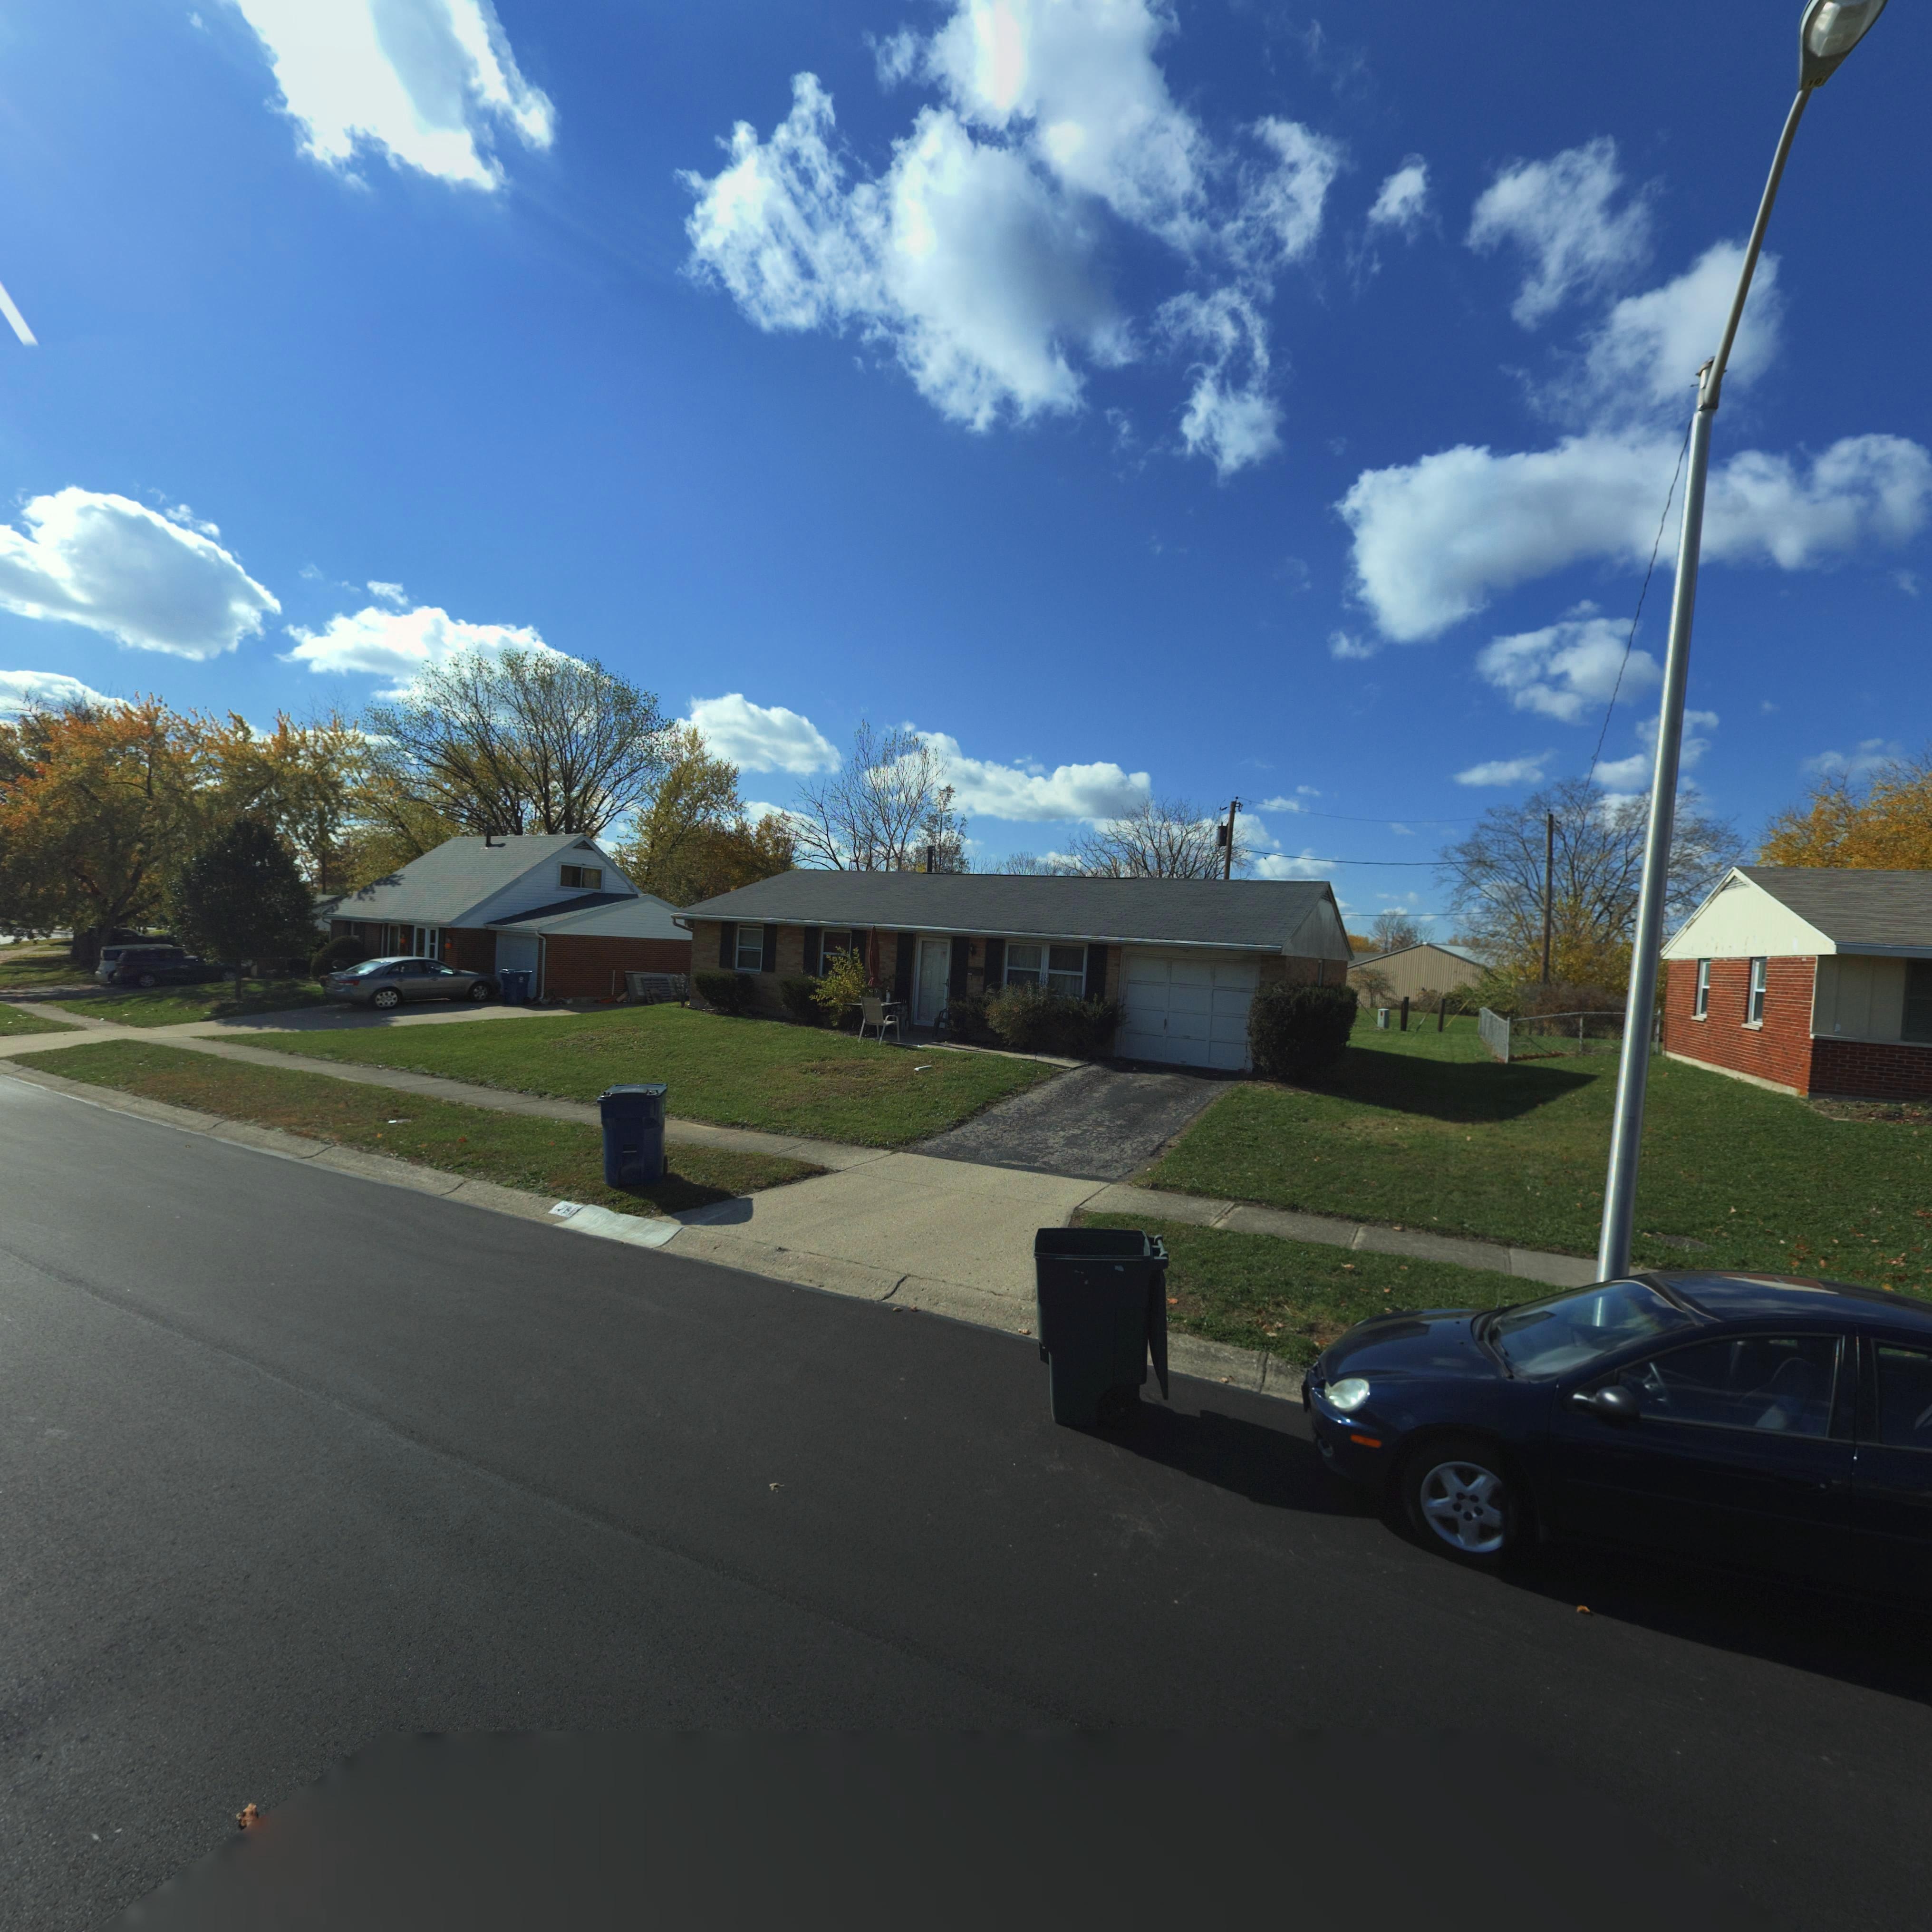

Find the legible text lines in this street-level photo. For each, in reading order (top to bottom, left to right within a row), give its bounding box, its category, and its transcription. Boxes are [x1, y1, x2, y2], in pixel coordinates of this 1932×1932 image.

[555, 1204, 580, 1216] StreetNumber: 761